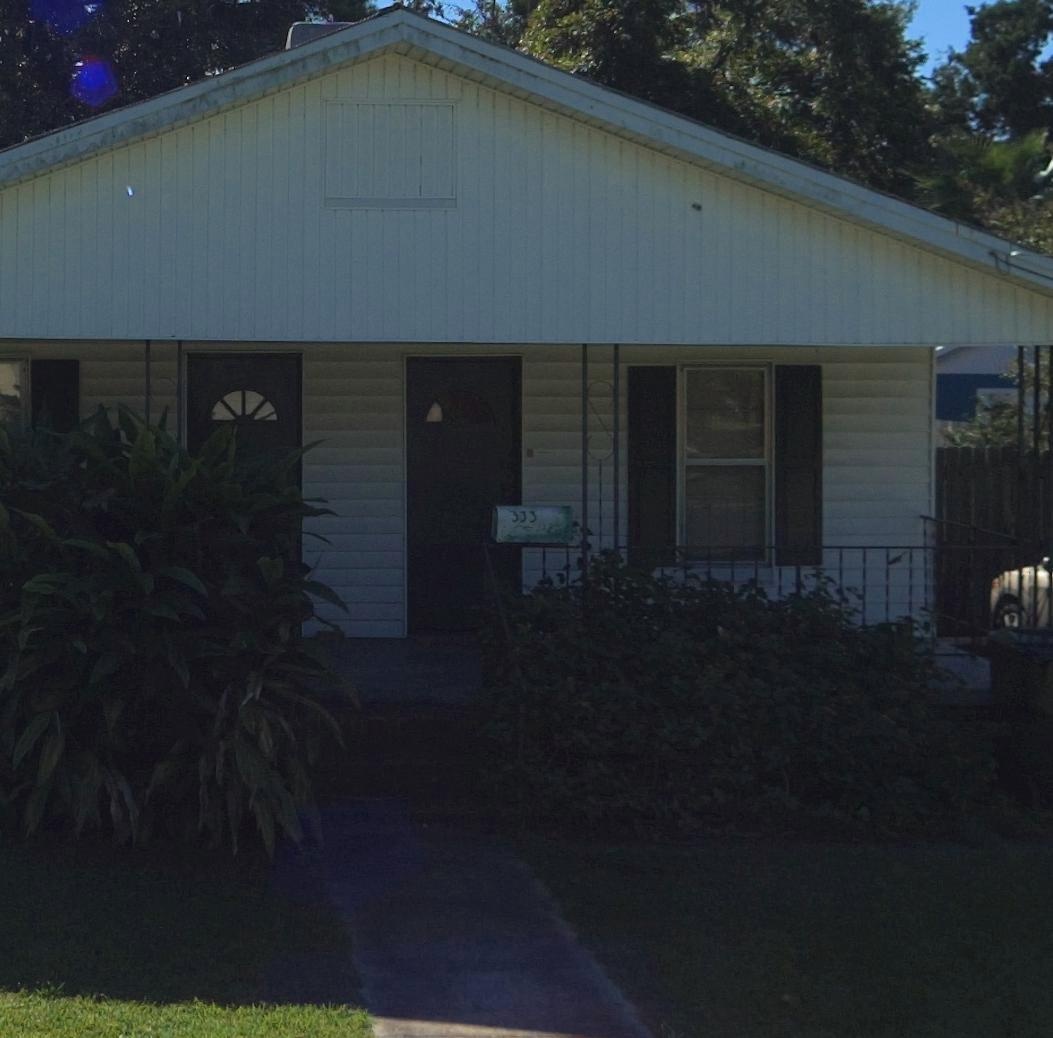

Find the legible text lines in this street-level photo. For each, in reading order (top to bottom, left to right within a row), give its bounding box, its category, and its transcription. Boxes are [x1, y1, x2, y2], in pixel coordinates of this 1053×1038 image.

[509, 509, 538, 524] StreetNumber: 333